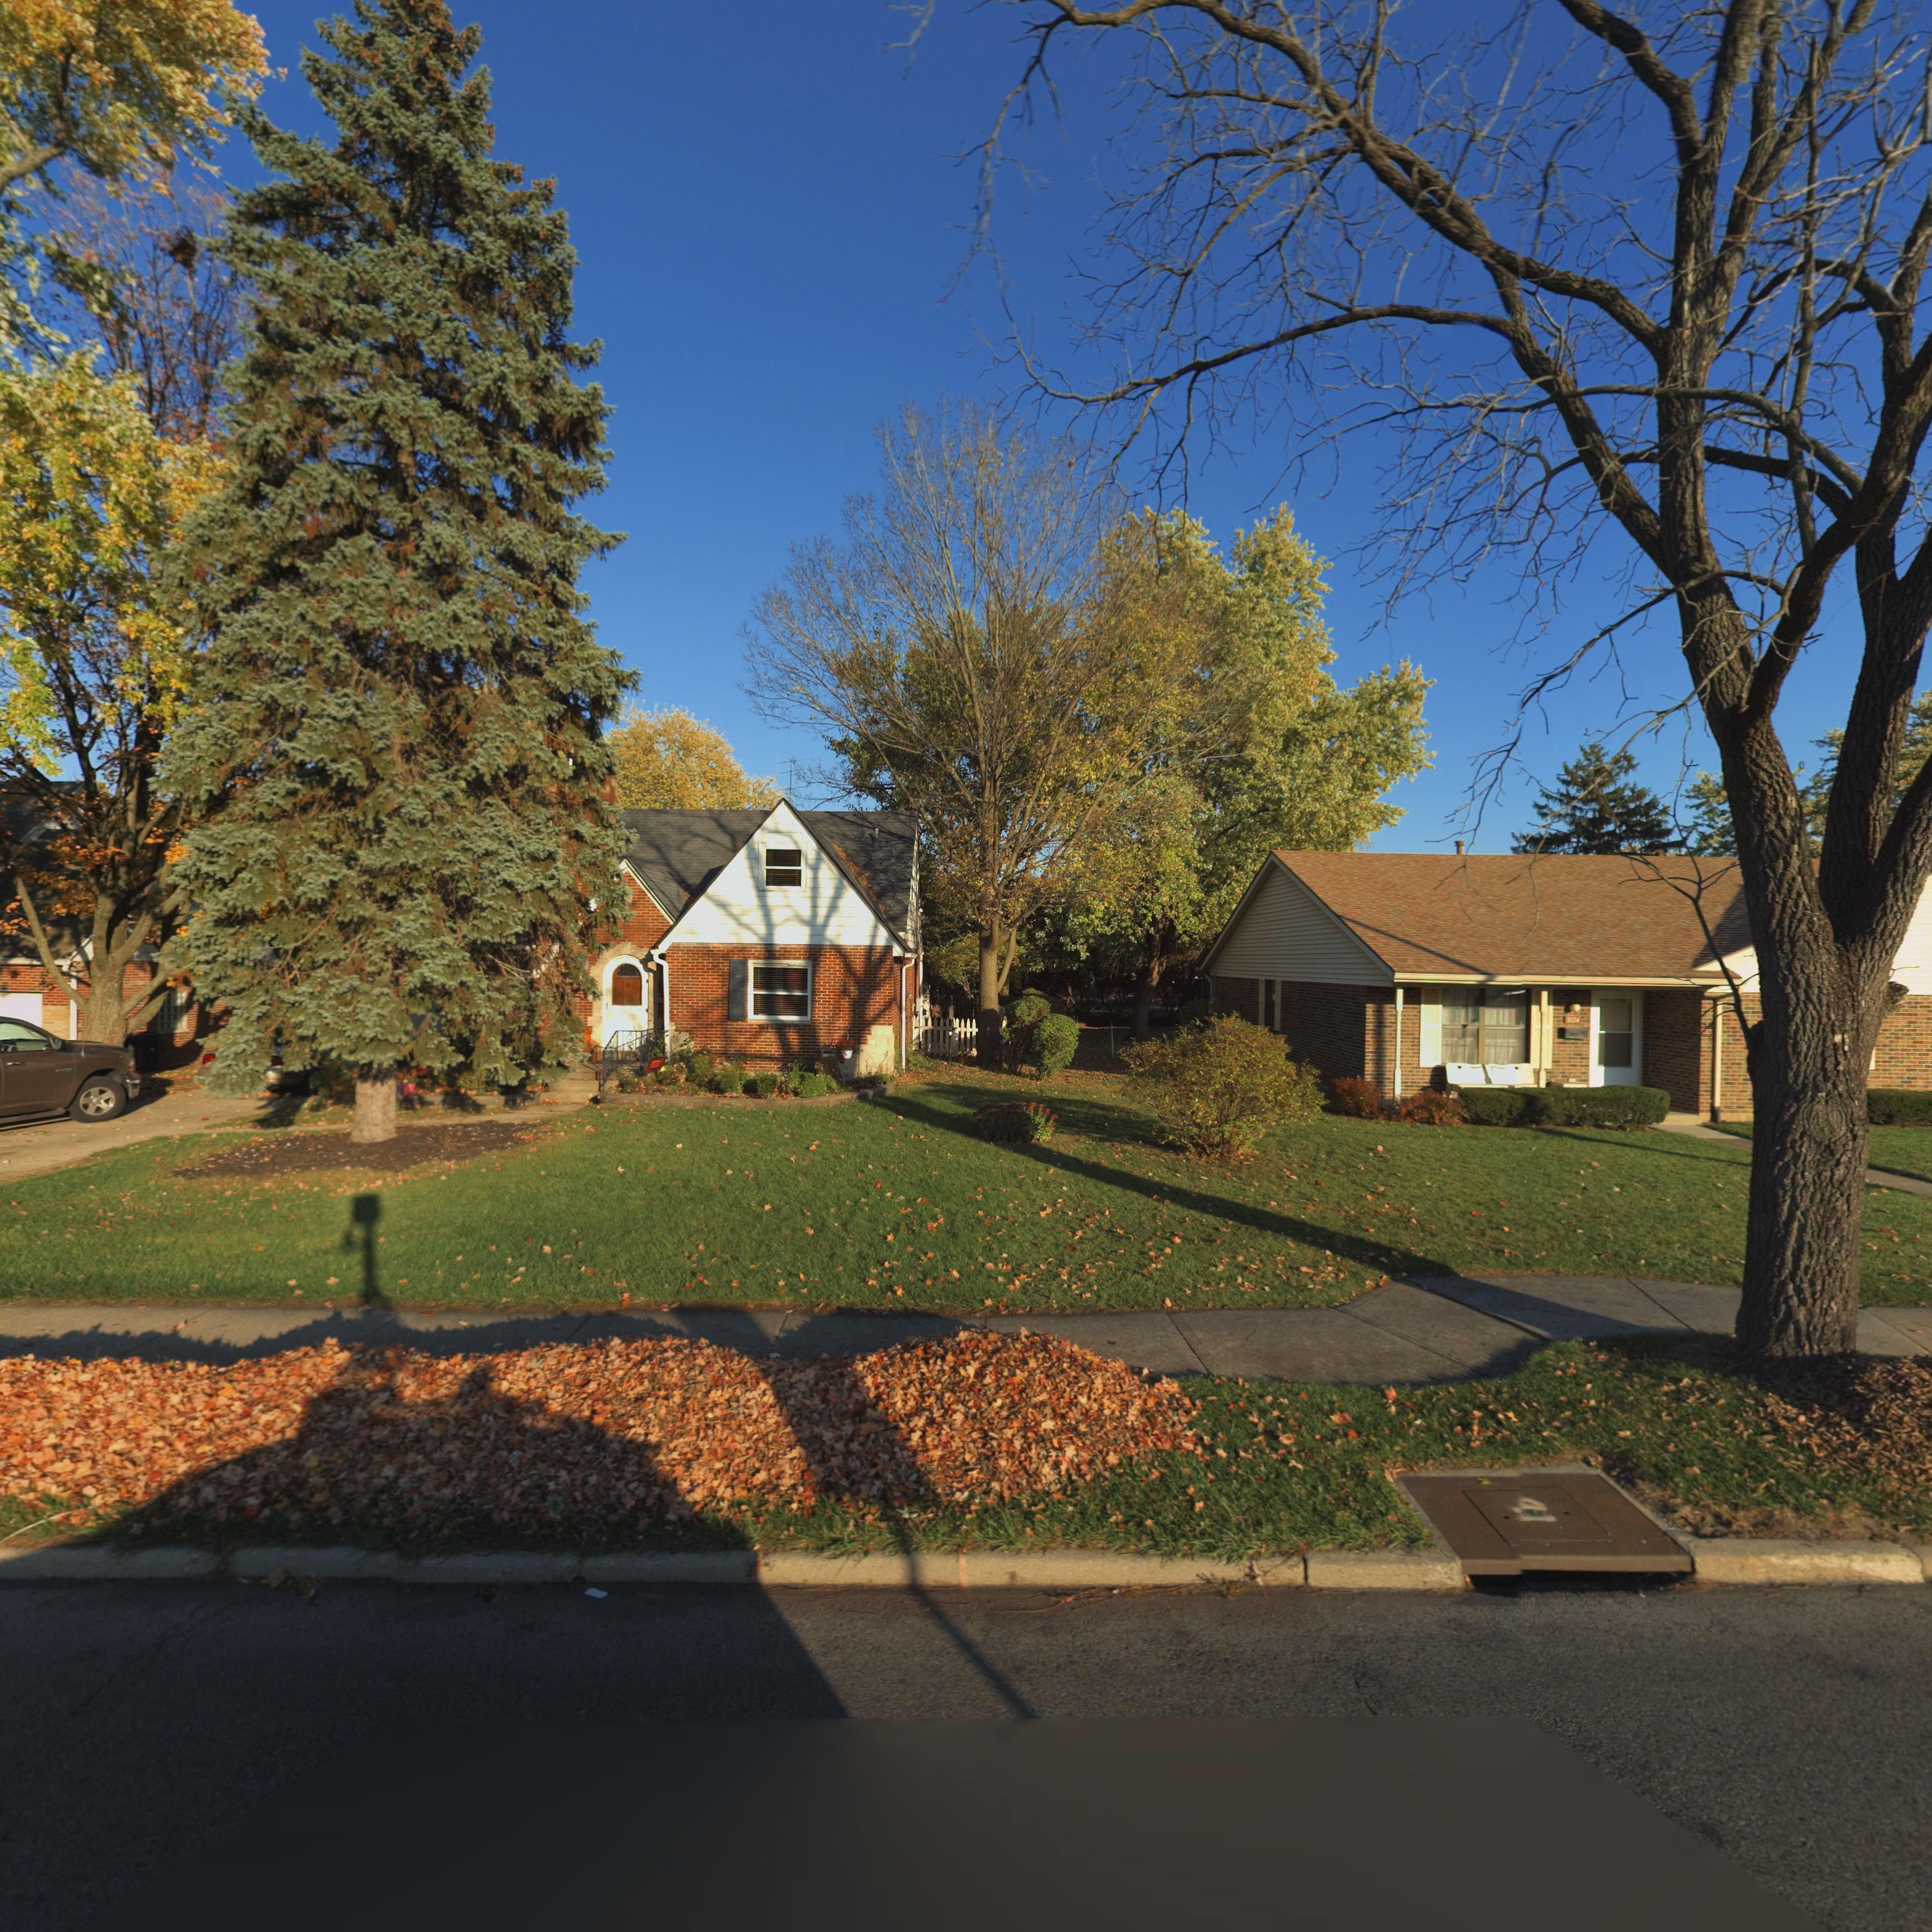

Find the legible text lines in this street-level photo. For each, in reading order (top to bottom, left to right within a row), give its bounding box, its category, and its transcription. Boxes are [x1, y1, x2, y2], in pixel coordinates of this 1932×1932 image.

[1566, 1016, 1581, 1024] StreetNumber: **24